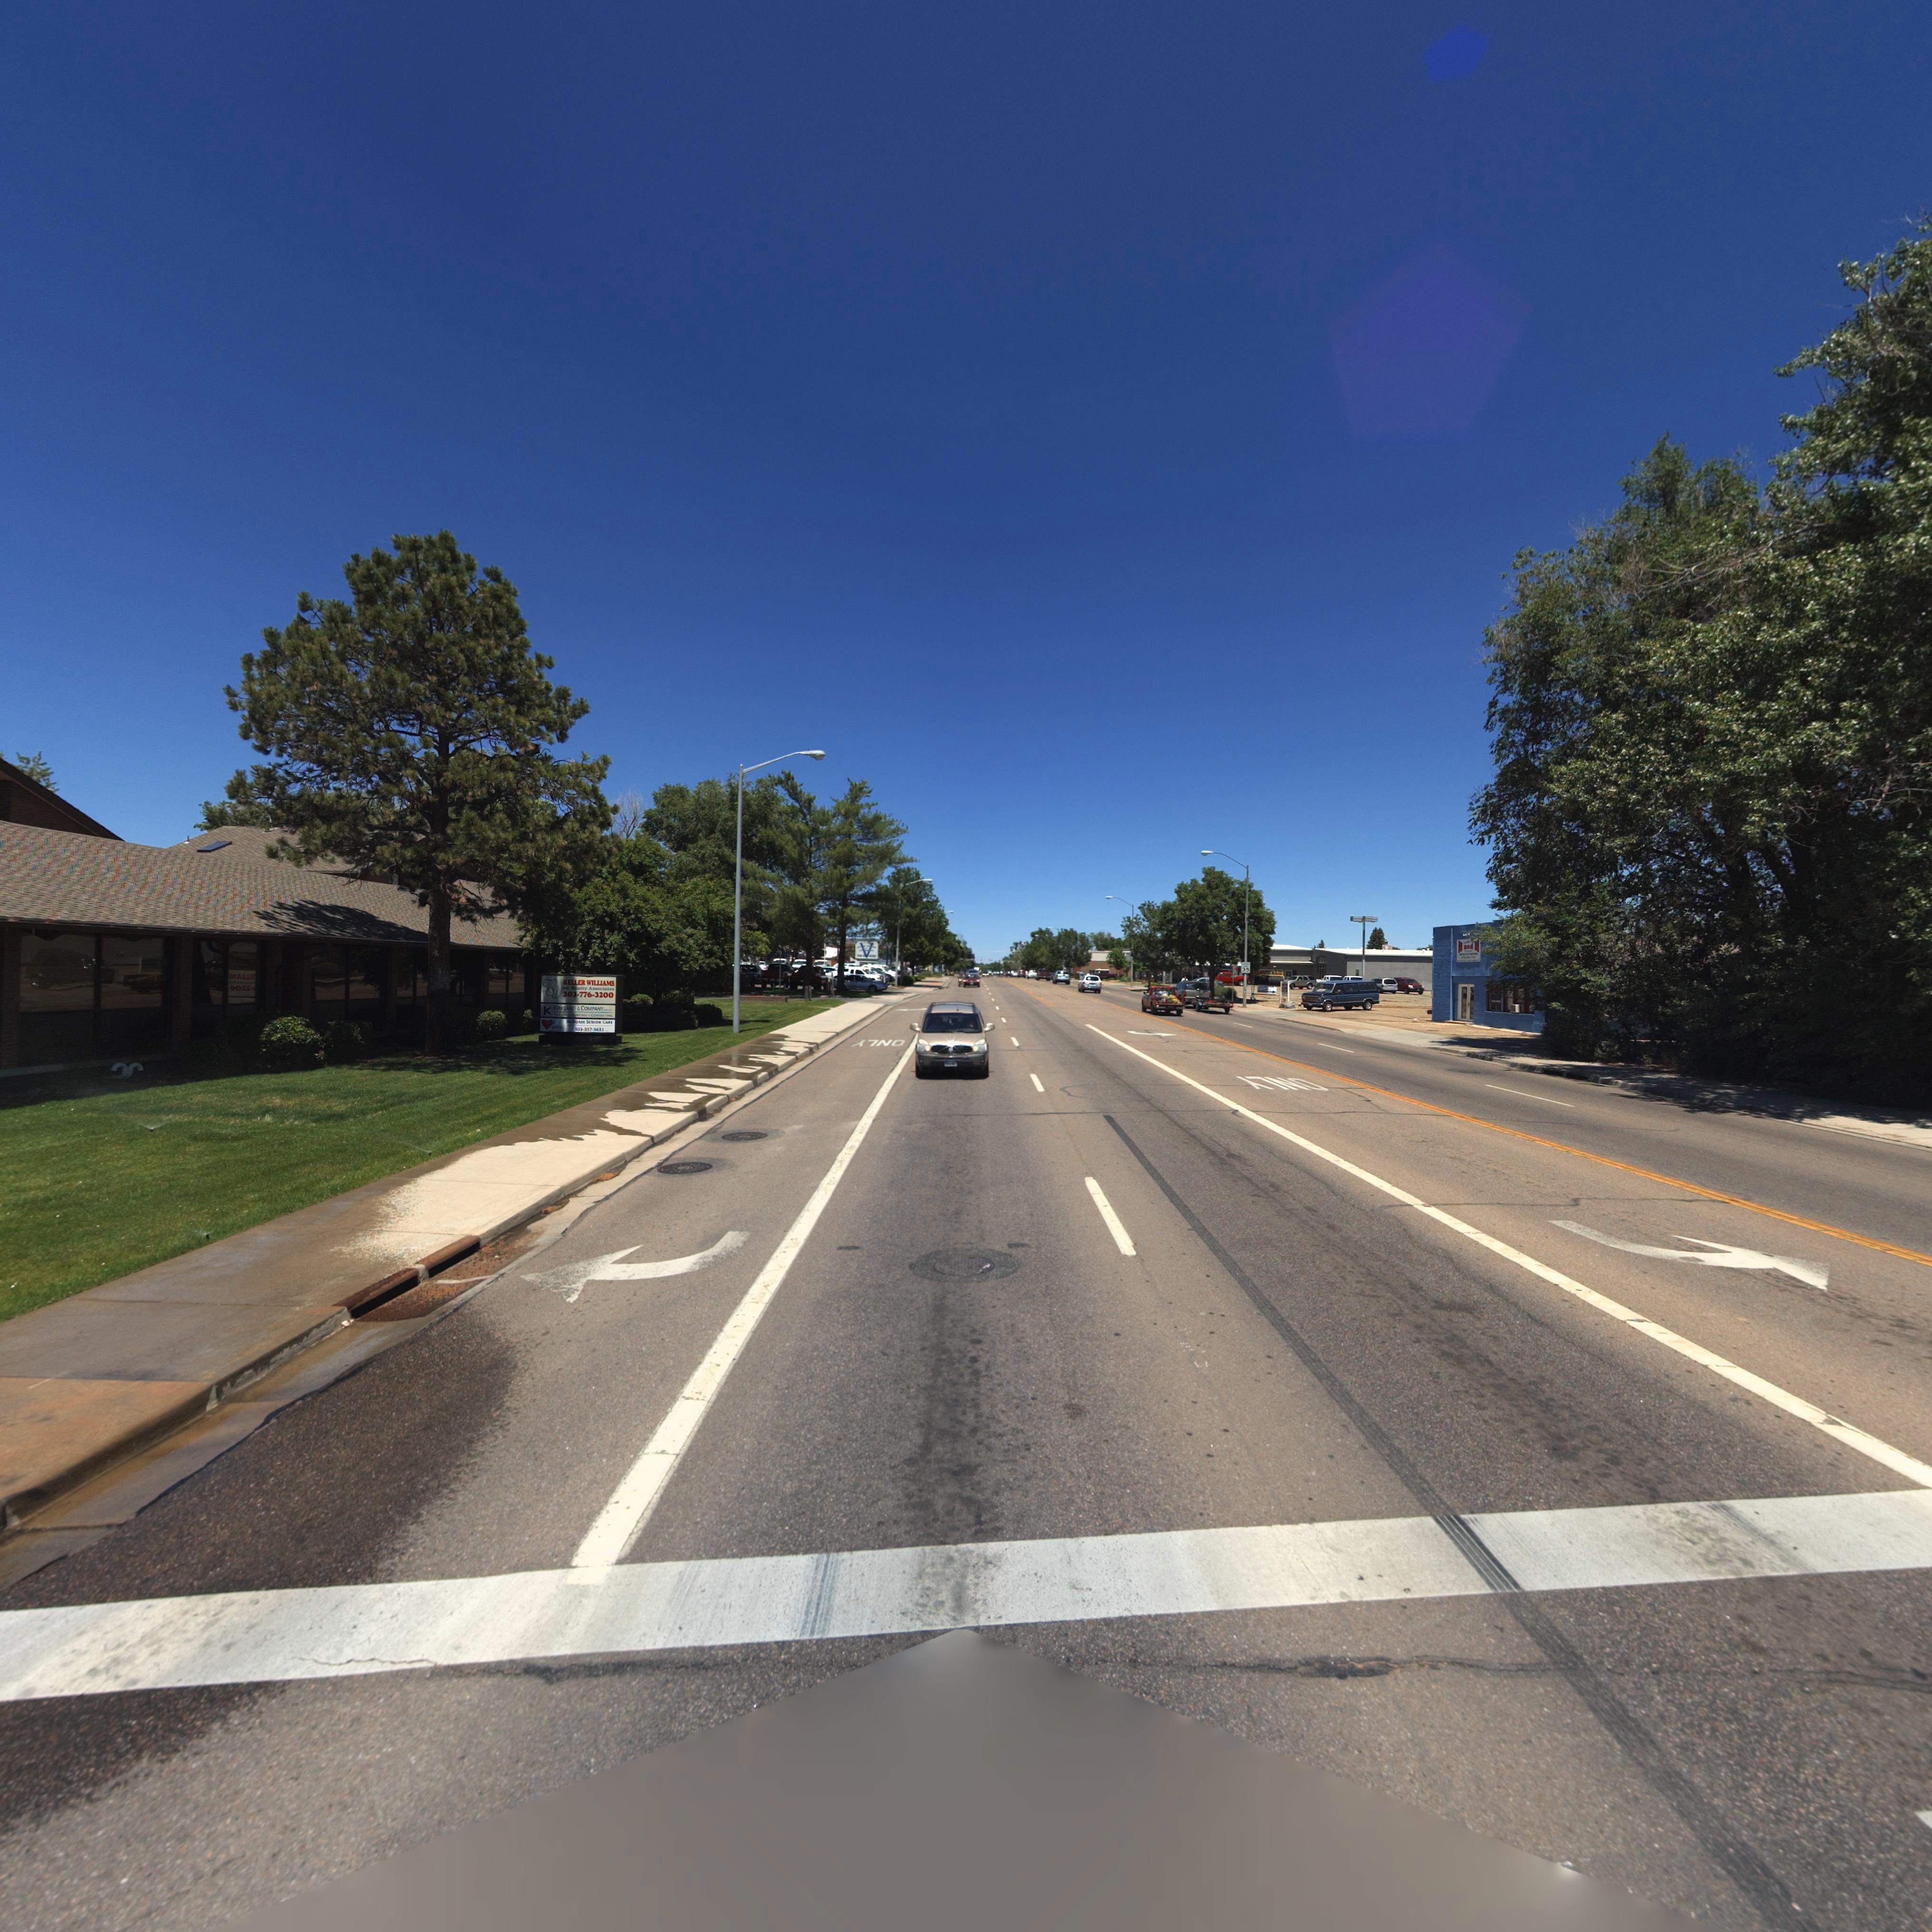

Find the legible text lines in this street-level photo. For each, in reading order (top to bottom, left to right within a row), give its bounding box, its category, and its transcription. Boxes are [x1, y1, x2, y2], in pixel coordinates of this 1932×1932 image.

[1458, 938, 1479, 953] BusinessName: M and M
[563, 979, 615, 986] BusinessName: KELLER WILLIAMS
[562, 985, 615, 991] BusinessName: 1st Realty Associates
[553, 1005, 604, 1011] BusinessName: KIRKLAND * COMPANY
[547, 1020, 555, 1025] BusinessName: All
[547, 1024, 563, 1030] BusinessName: Valley